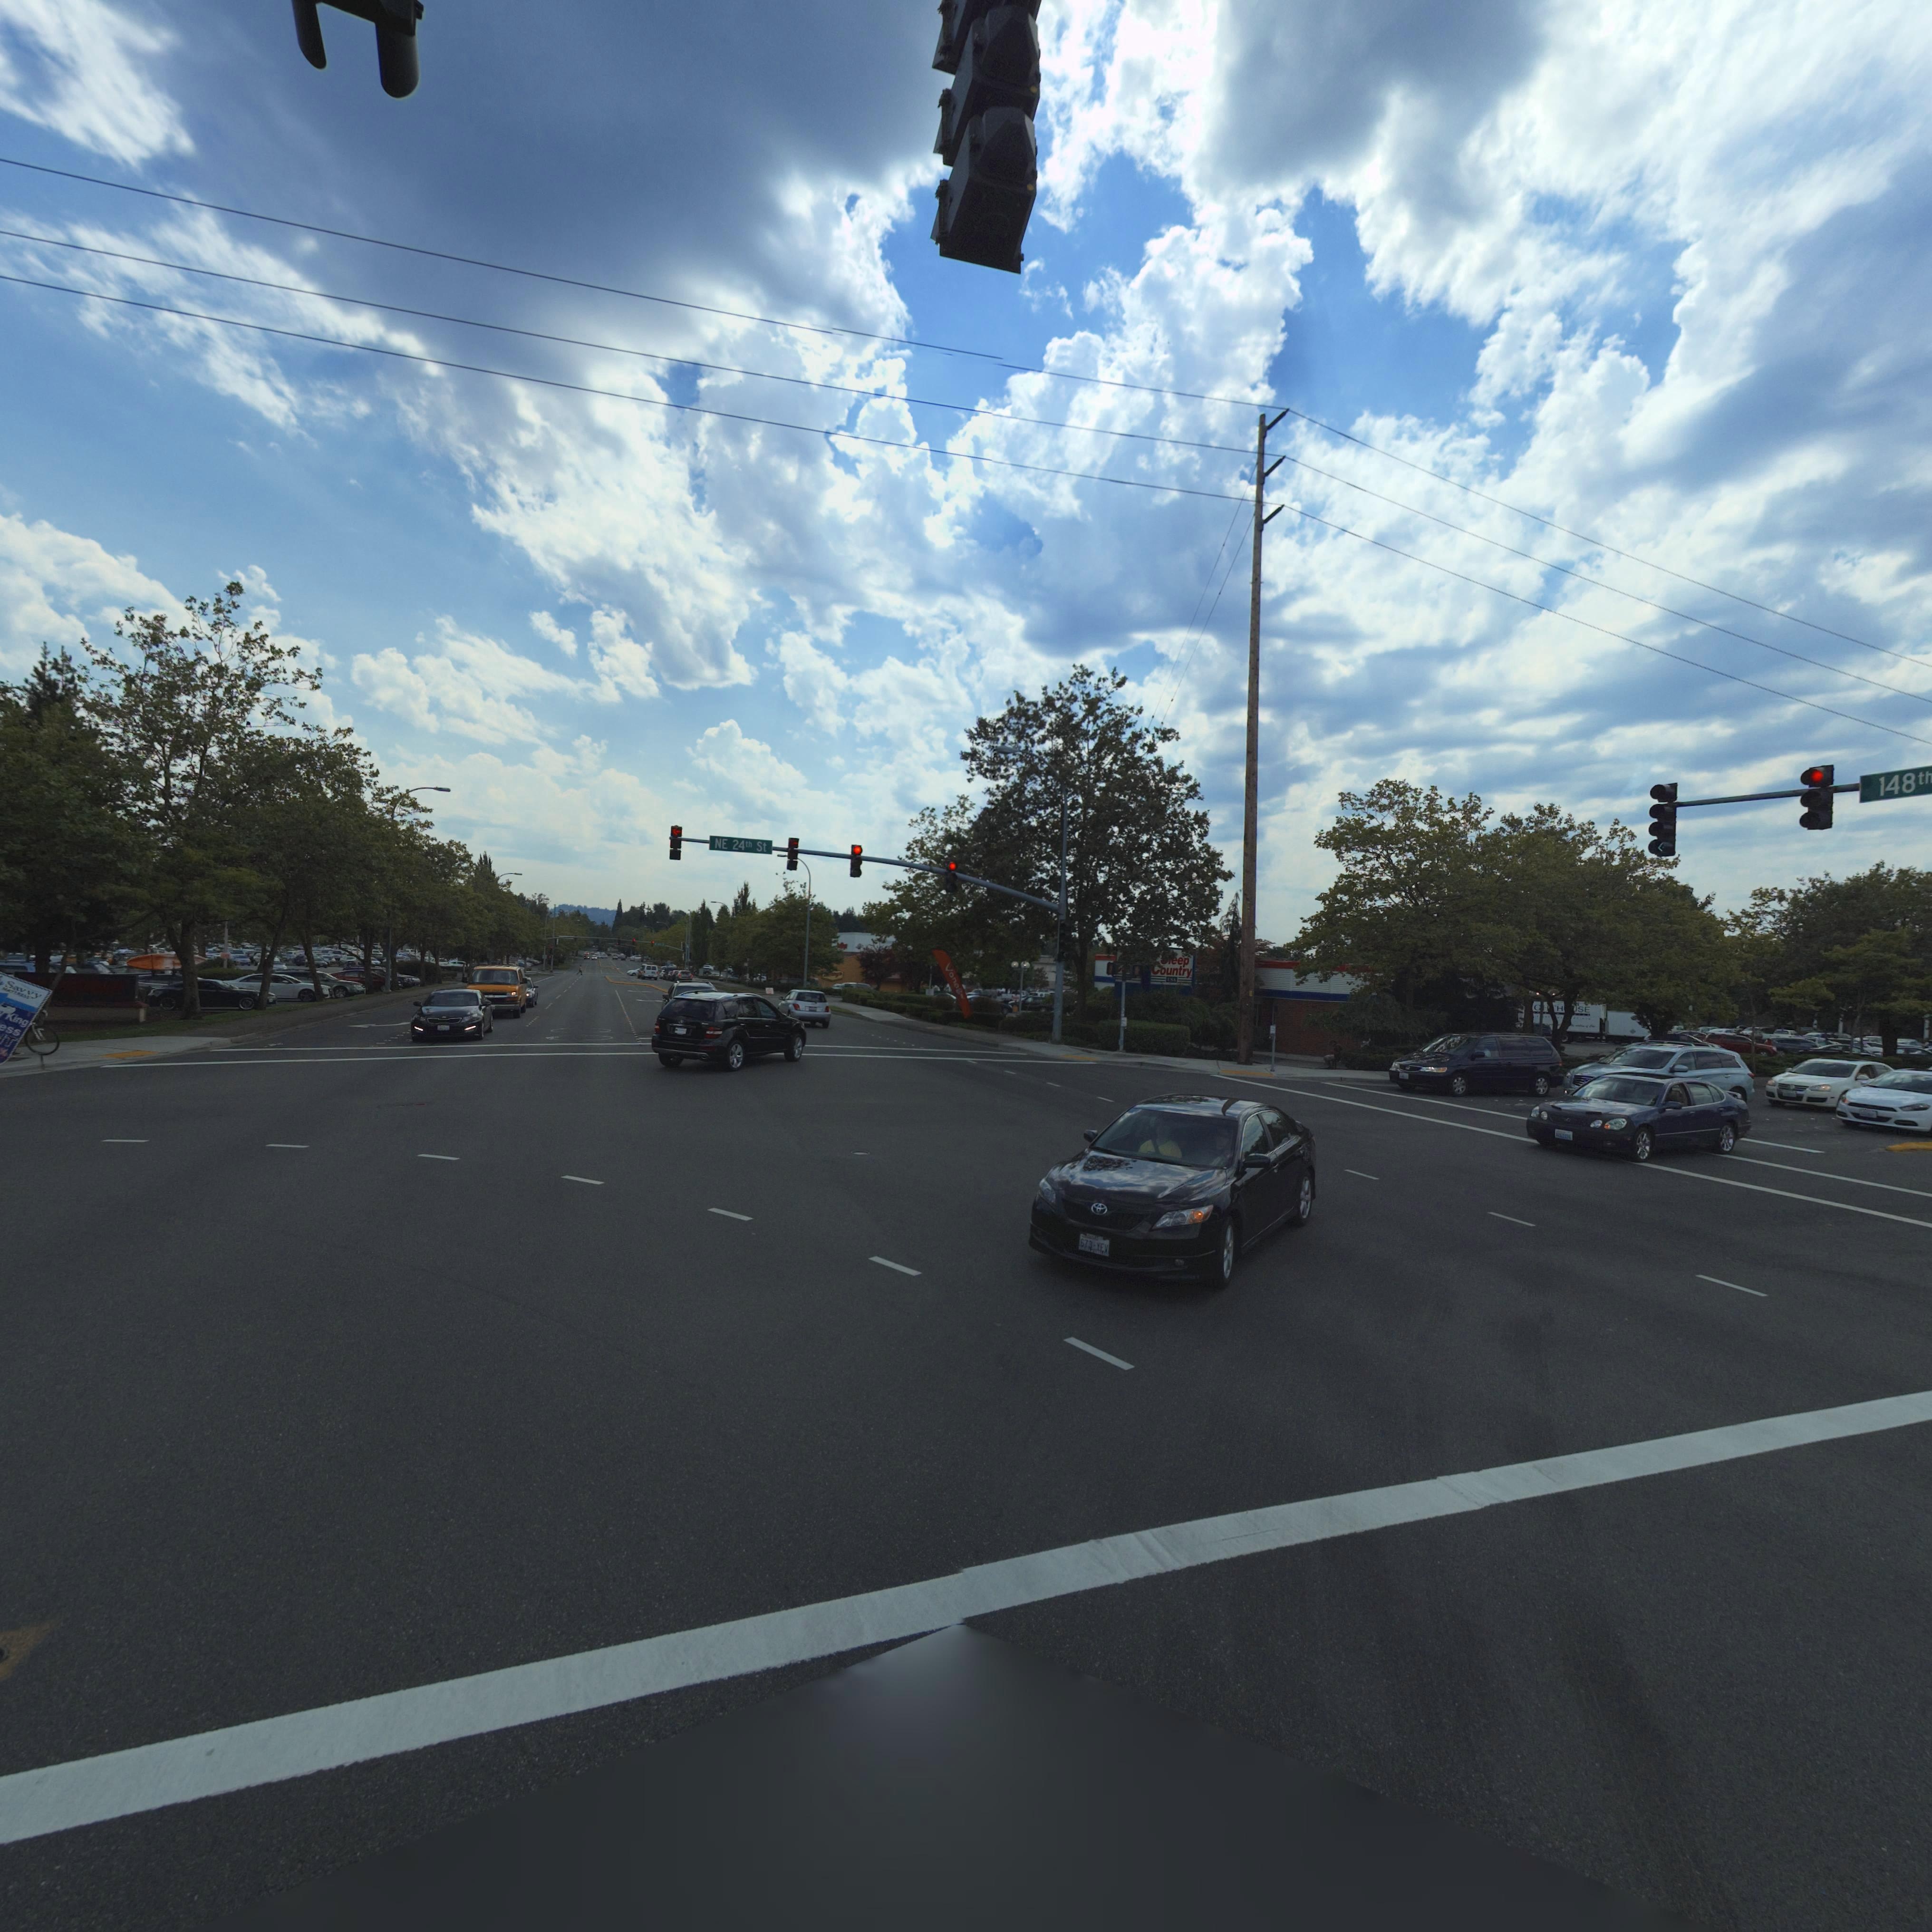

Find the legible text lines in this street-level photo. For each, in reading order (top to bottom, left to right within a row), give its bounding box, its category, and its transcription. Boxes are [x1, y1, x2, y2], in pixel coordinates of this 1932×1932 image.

[1878, 767, 1932, 798] StreetNumber: 148th
[714, 837, 767, 852] StreetName: NE 24th St
[1160, 954, 1189, 967] BusinessName: **eep
[1151, 963, 1194, 978] BusinessName: Country
[1167, 976, 1177, 982] BusinessName: US*